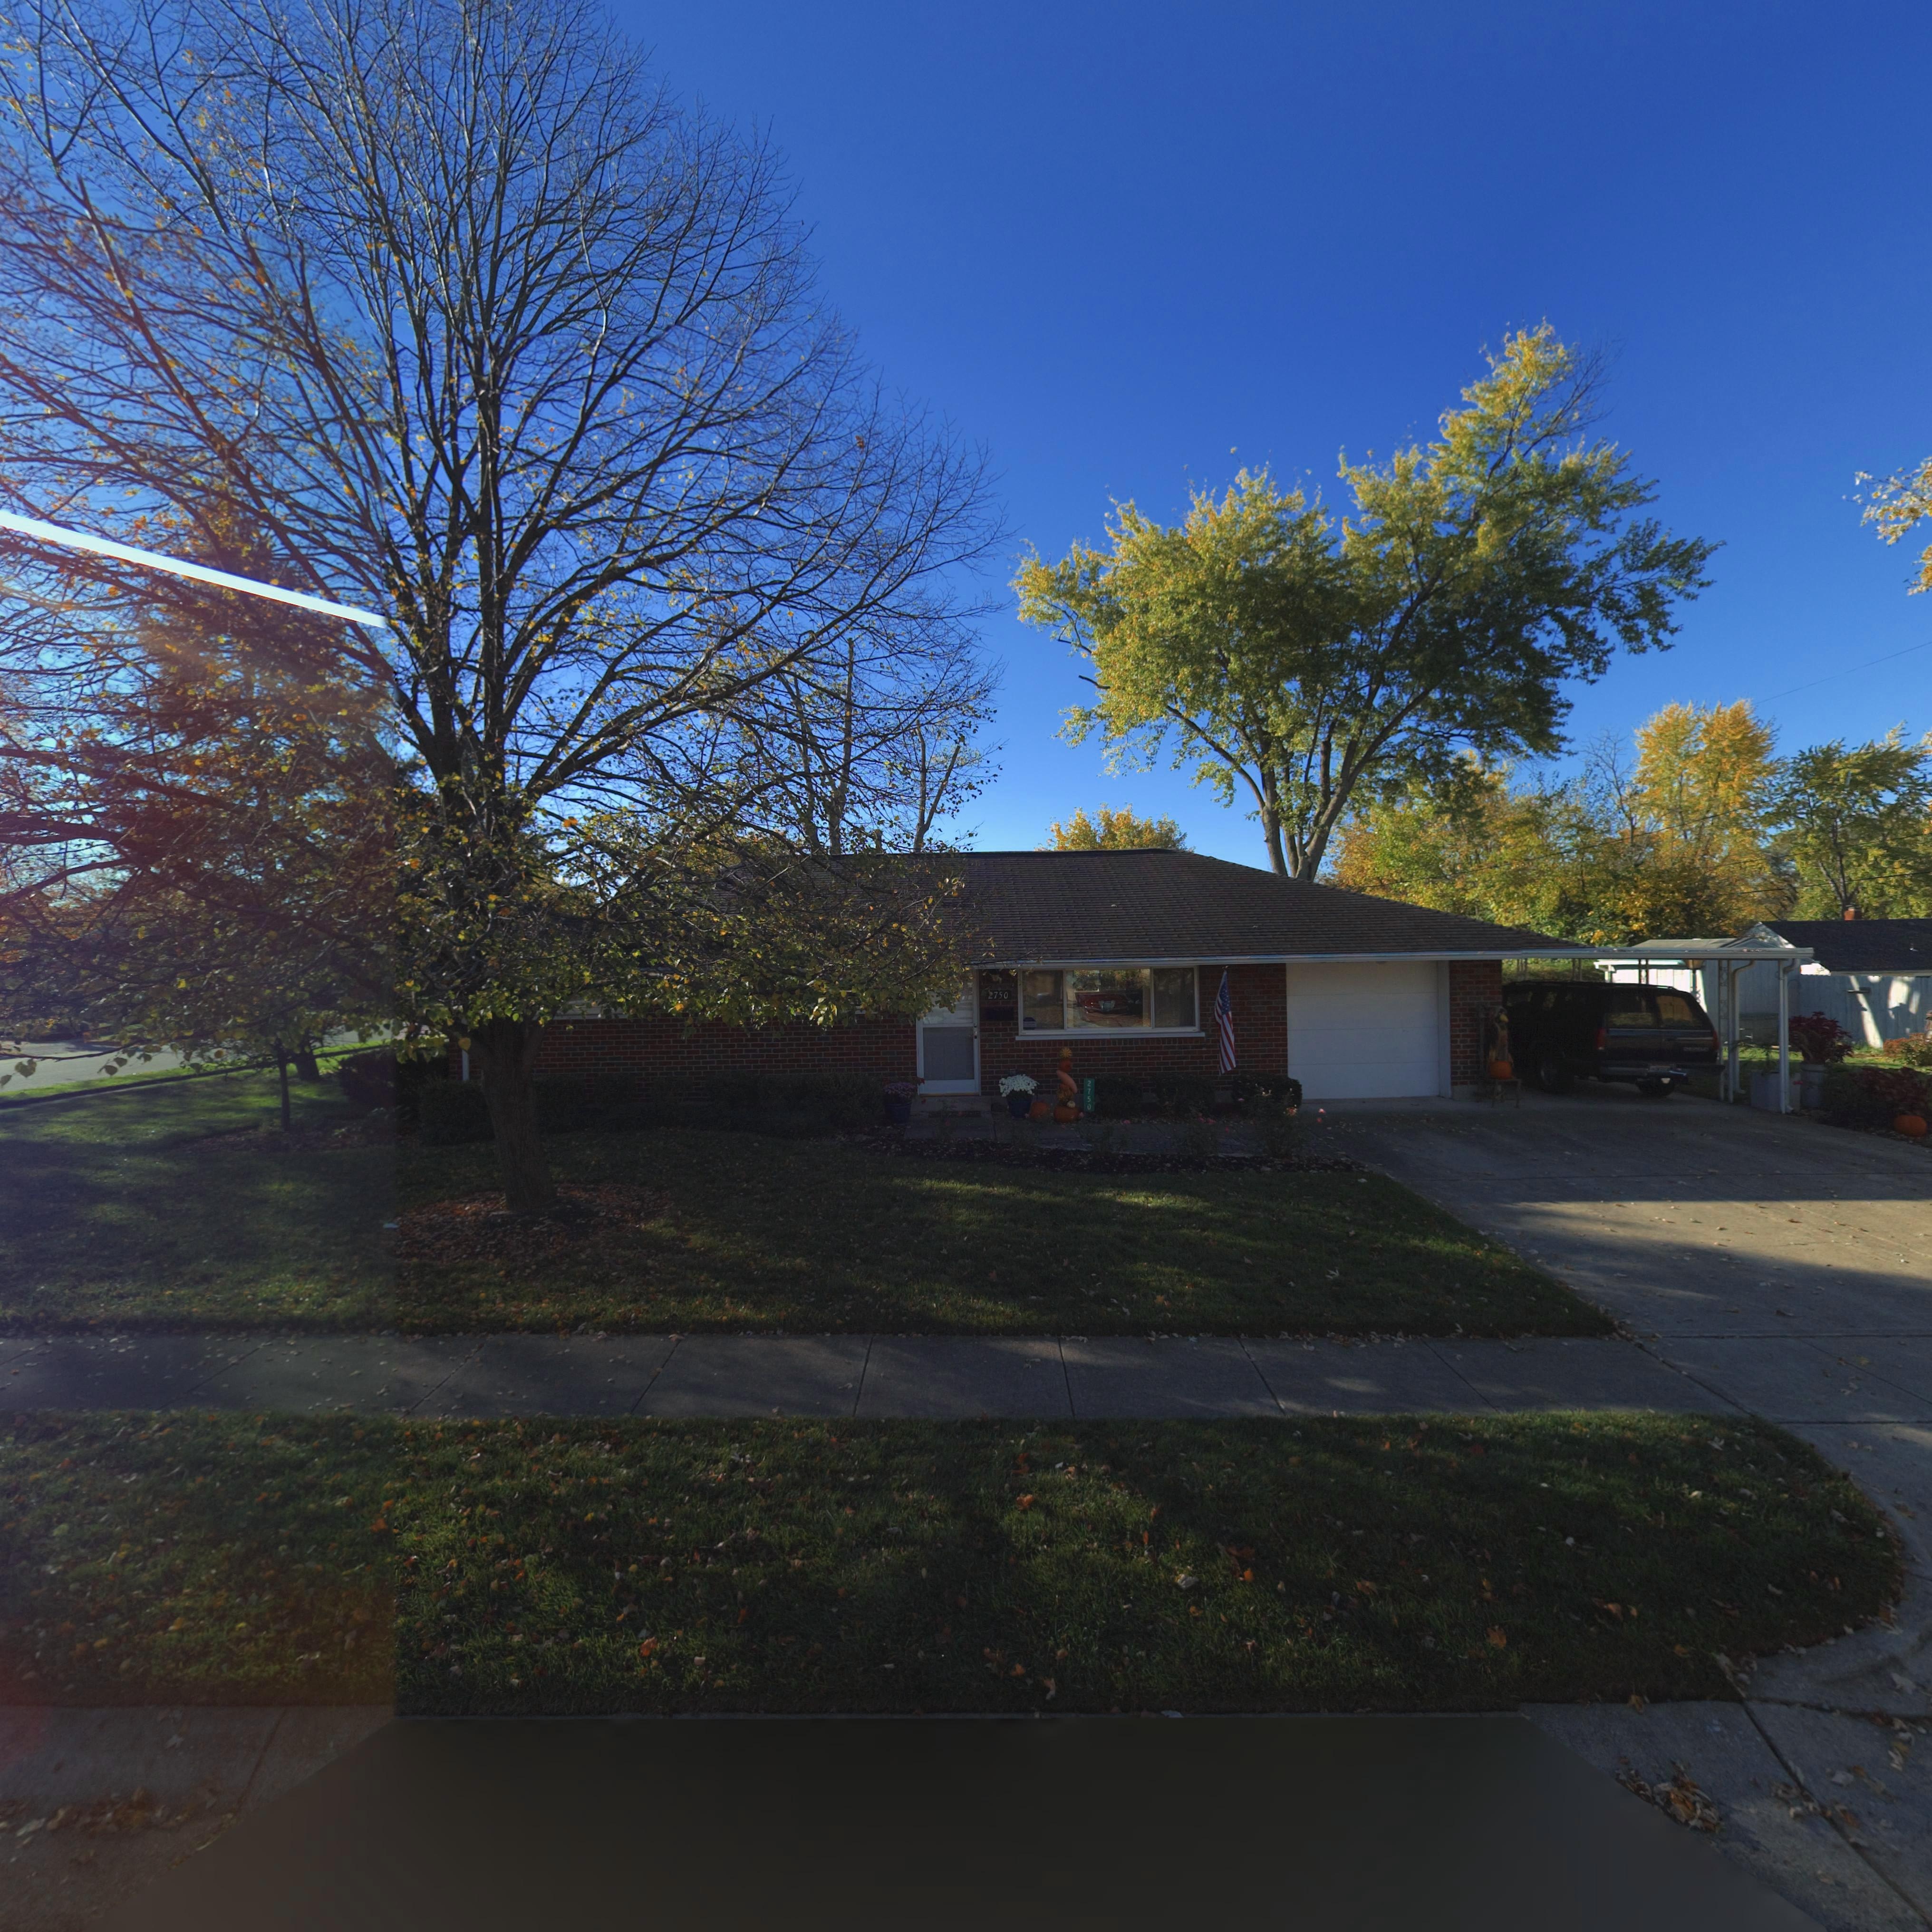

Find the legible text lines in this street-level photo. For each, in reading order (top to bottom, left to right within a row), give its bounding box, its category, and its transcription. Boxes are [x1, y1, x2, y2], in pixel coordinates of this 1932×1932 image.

[993, 990, 1009, 1000] StreetNumber: 750
[1086, 1078, 1093, 1111] StreetNumber: 2750